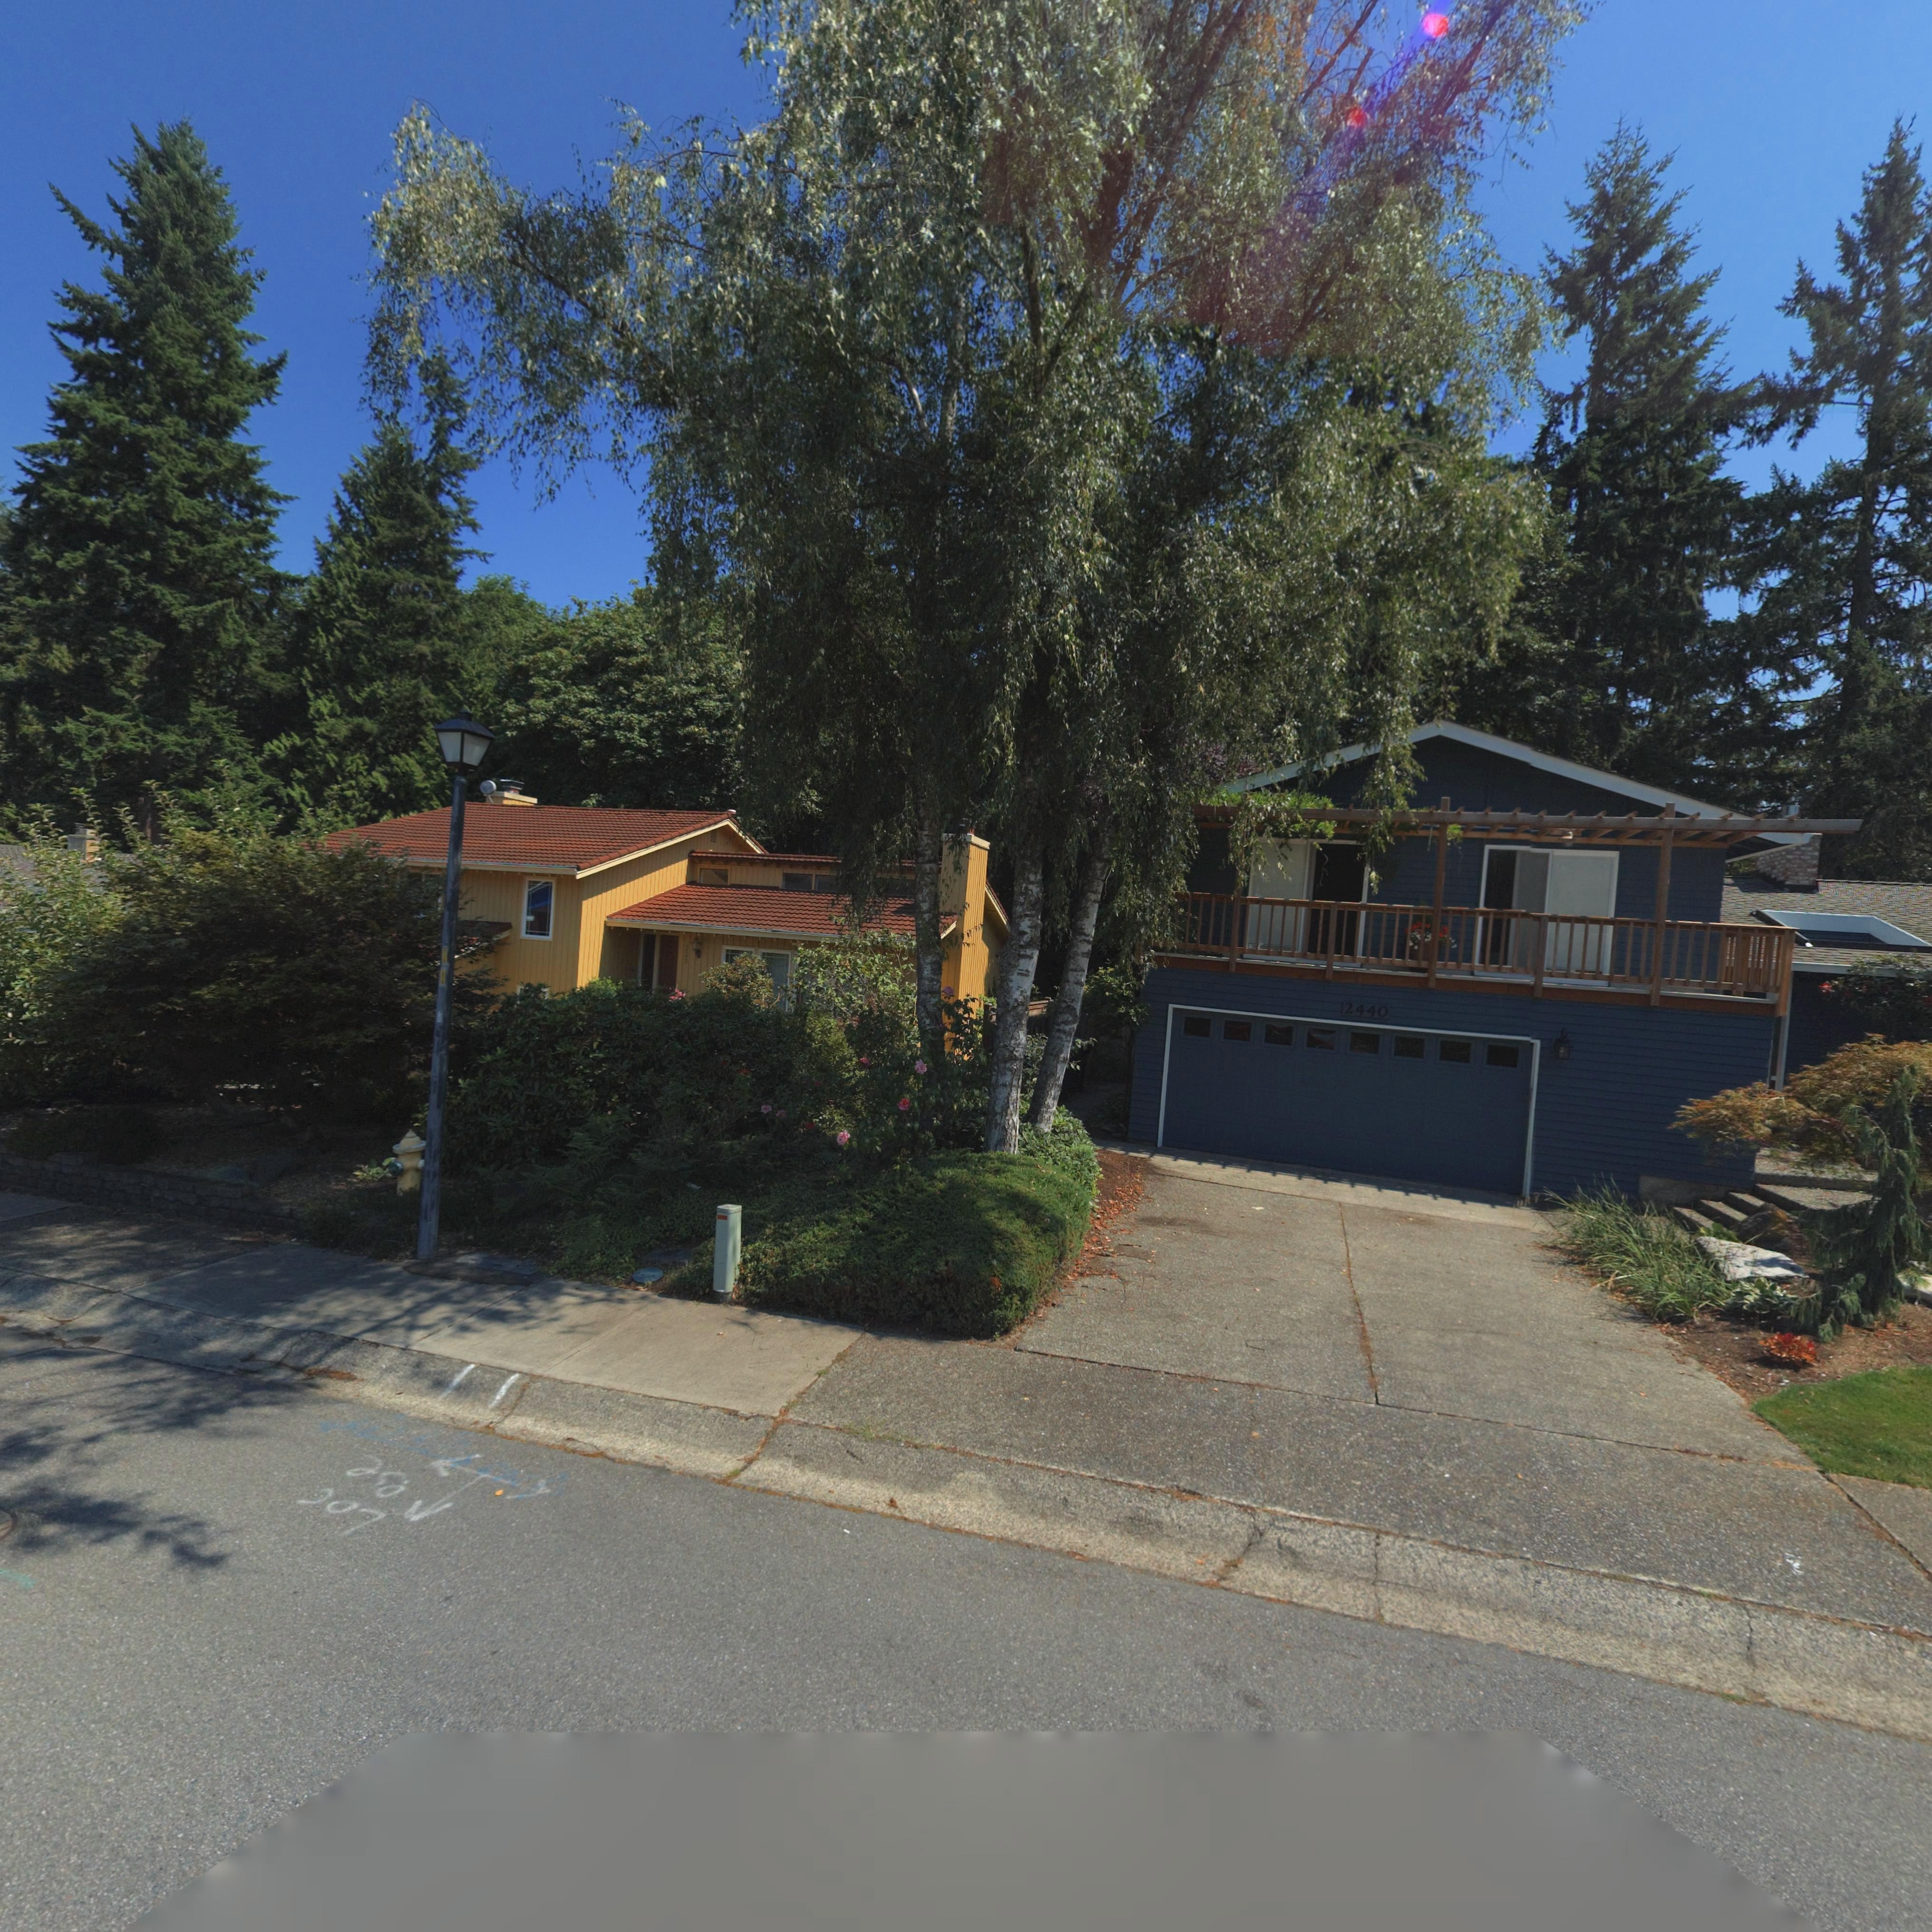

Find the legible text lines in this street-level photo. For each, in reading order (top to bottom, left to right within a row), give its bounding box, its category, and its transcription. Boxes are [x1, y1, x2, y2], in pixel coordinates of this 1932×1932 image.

[684, 944, 689, 964] StreetNumber: 2502
[1344, 1001, 1388, 1020] StreetNumber: 2440